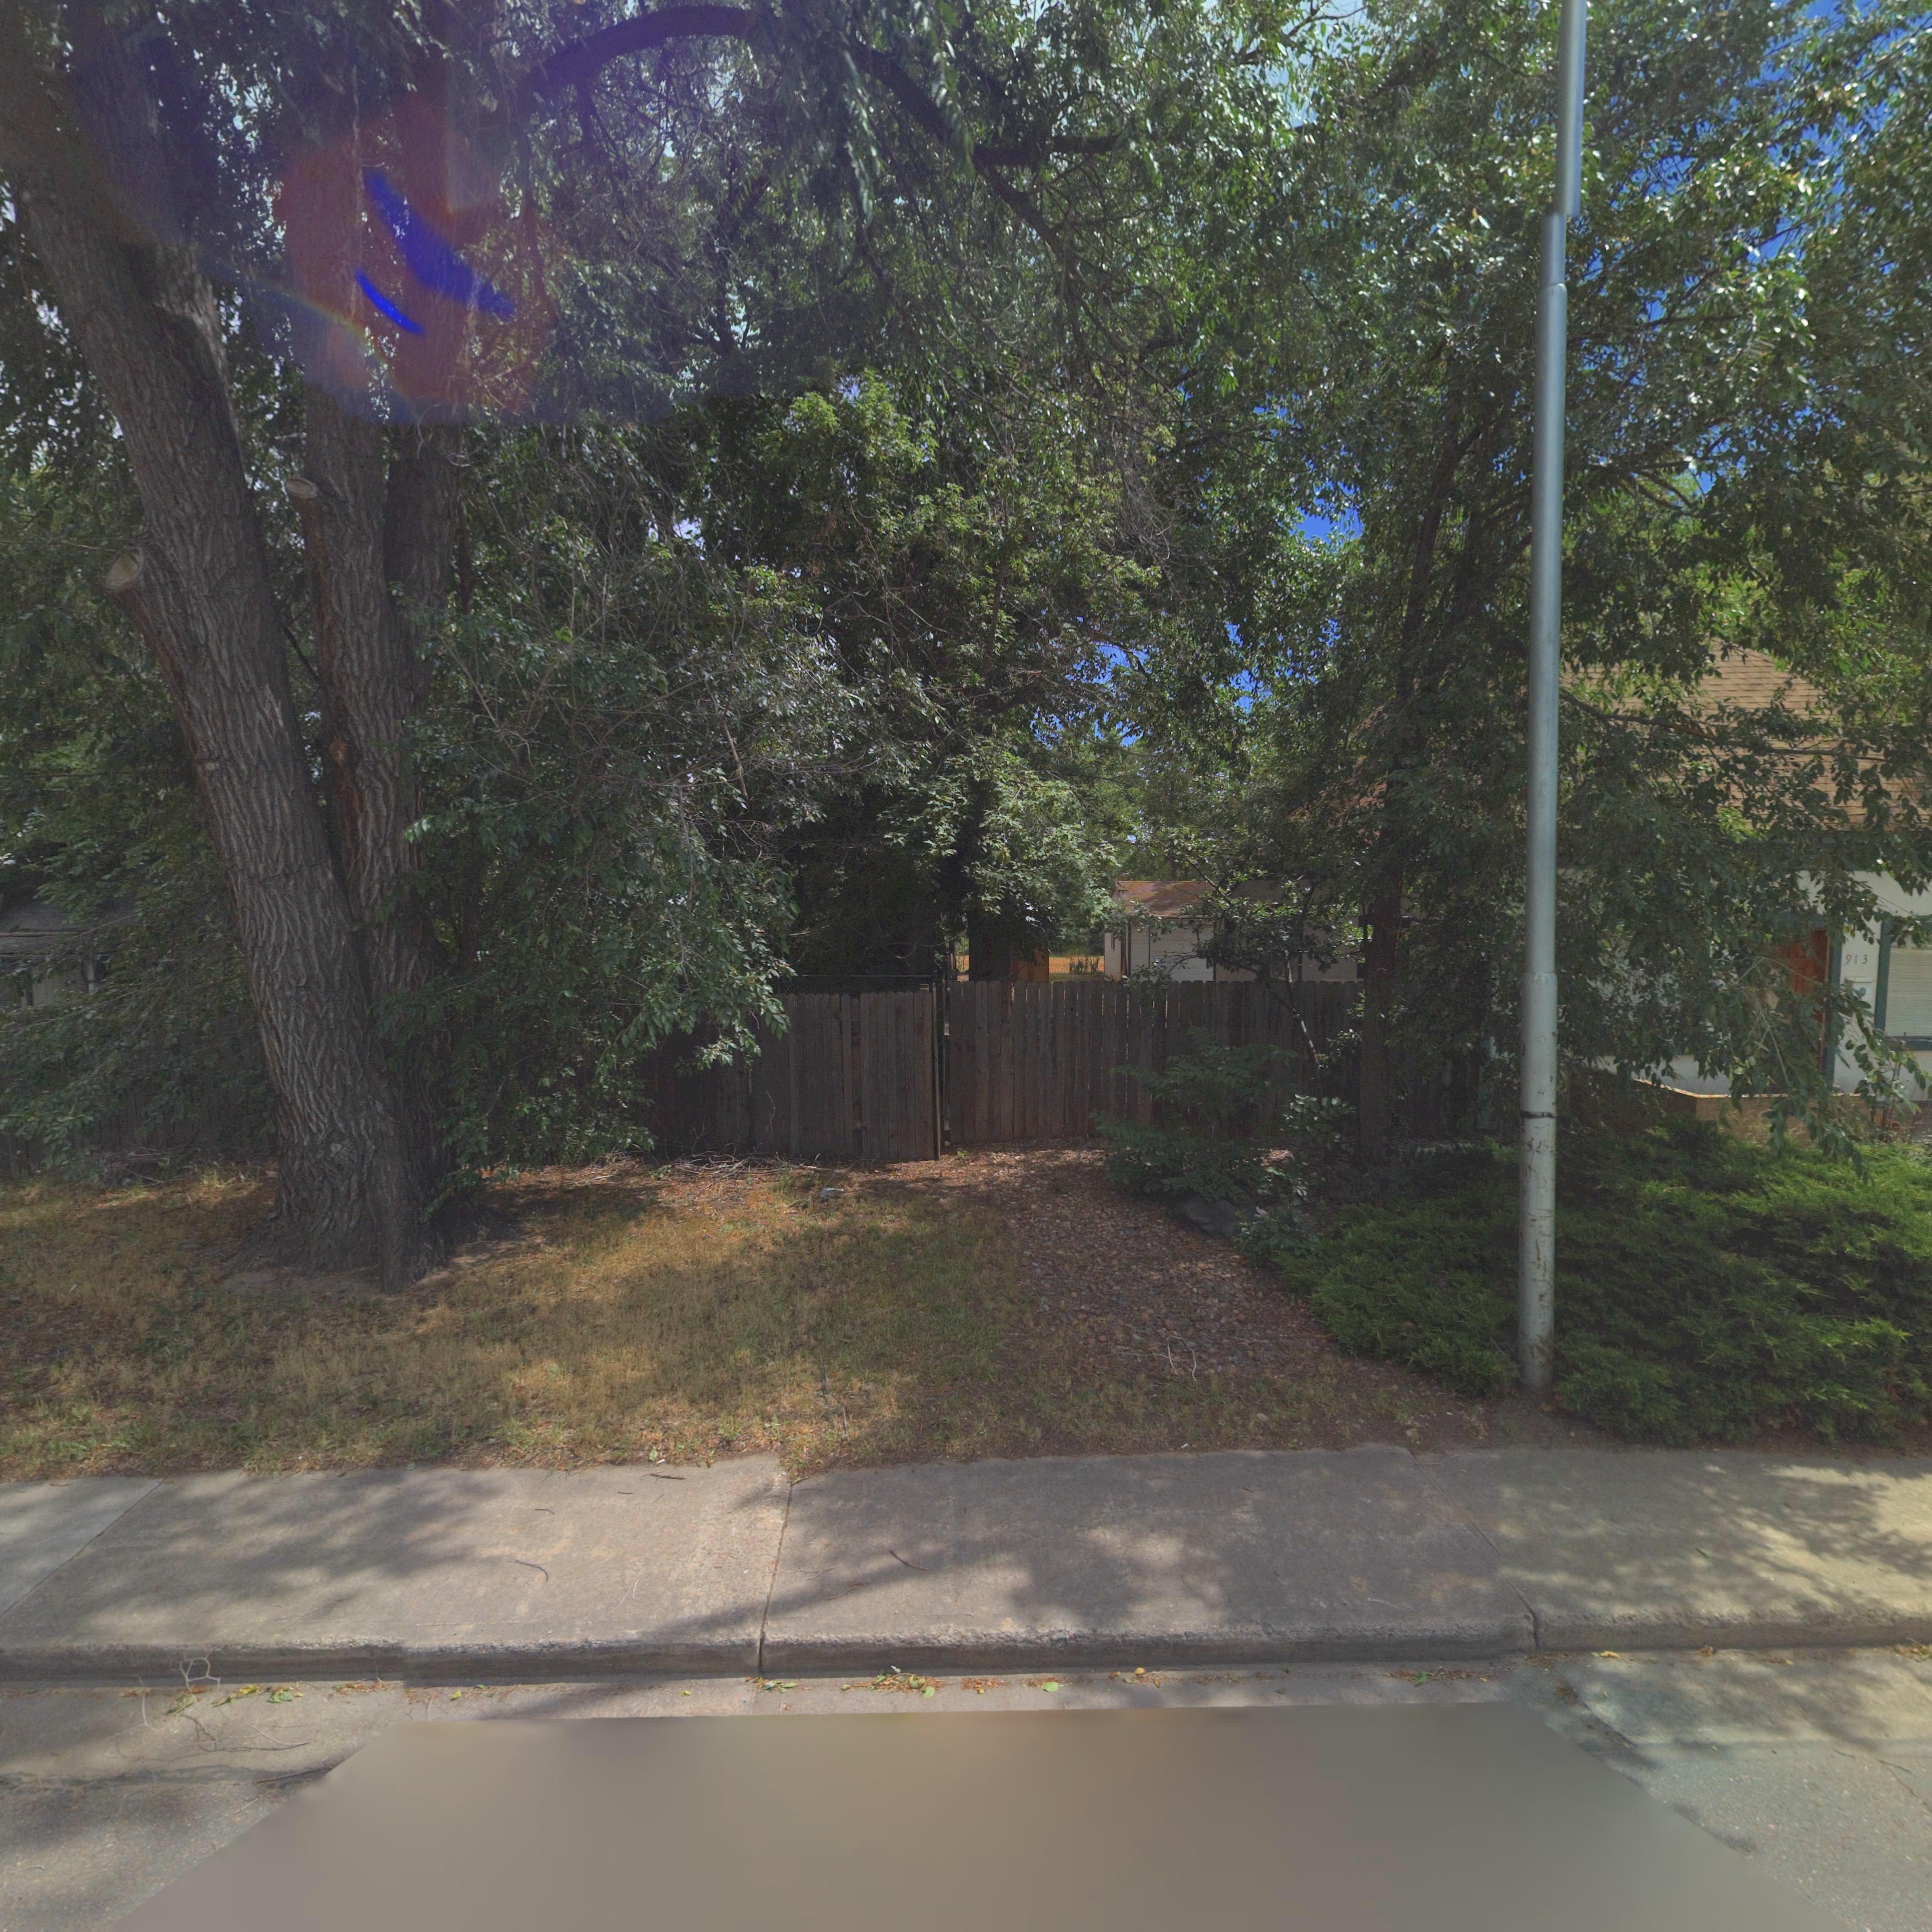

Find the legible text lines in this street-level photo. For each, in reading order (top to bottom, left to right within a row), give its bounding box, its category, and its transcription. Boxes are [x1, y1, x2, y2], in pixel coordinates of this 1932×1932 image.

[1845, 953, 1868, 965] StreetNumber: 913